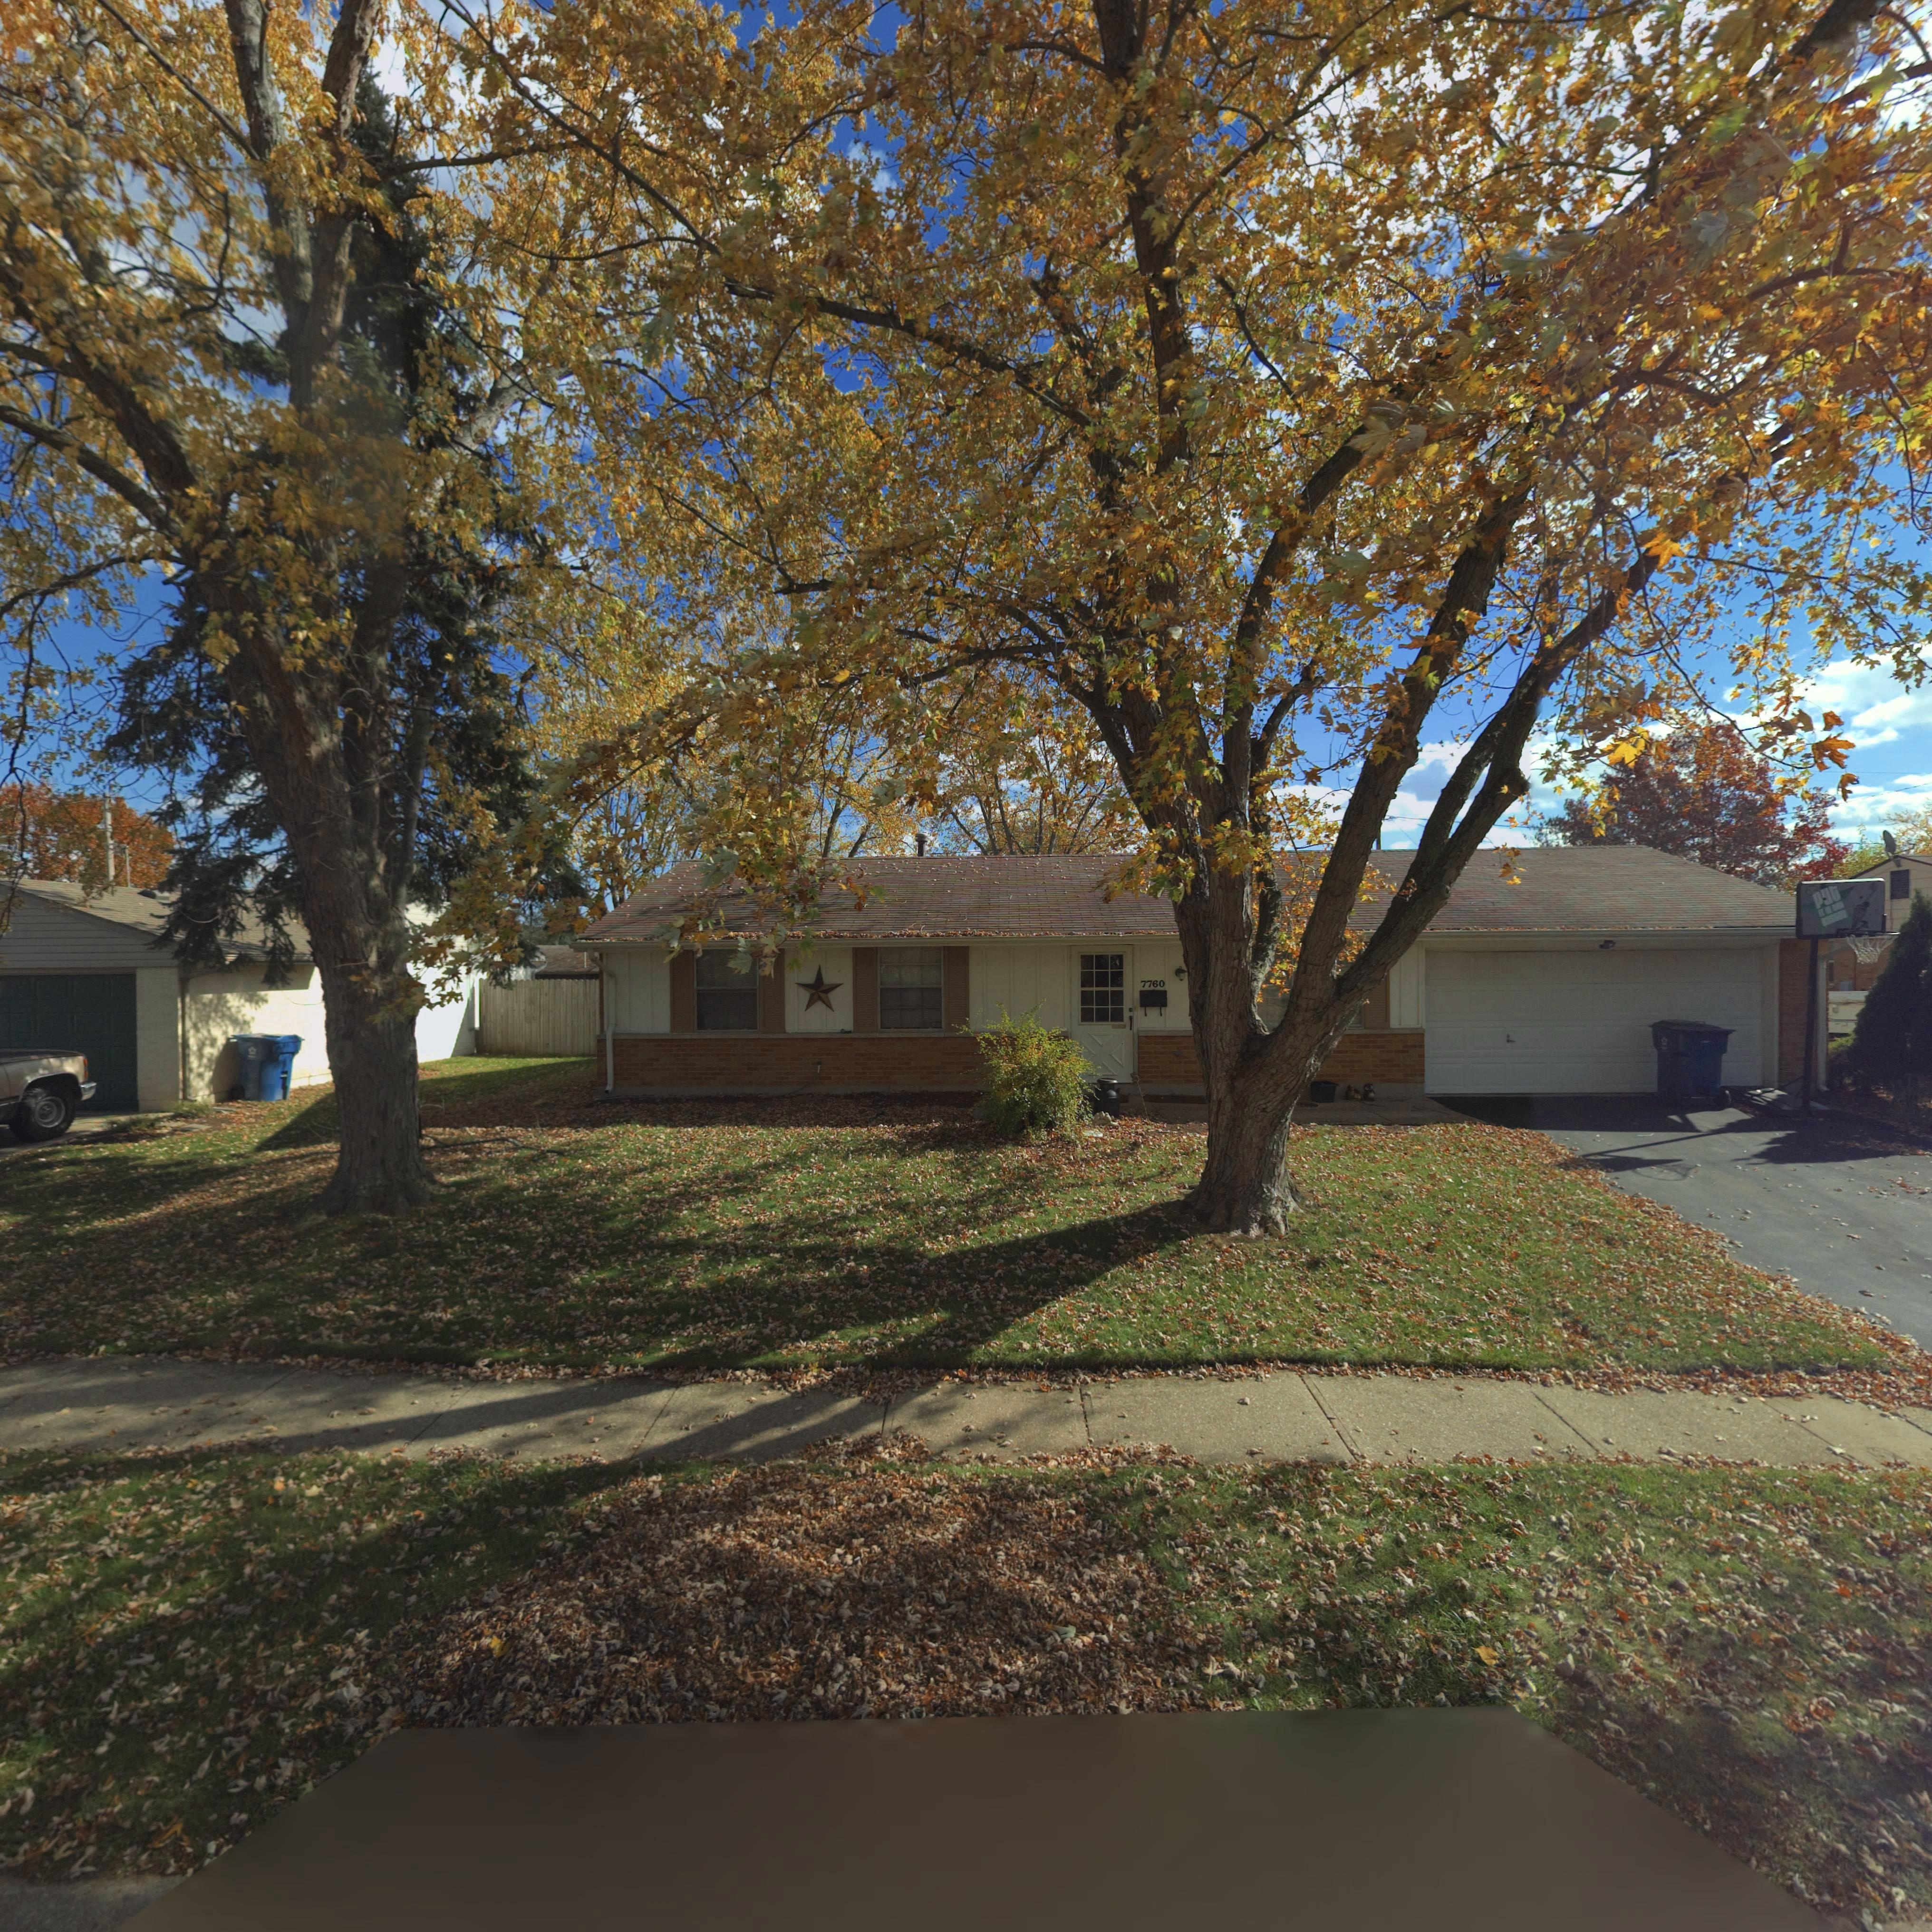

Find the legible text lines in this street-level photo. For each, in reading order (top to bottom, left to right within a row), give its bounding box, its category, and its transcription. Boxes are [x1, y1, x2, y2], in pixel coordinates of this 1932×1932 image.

[1140, 980, 1165, 988] StreetNumber: 7760